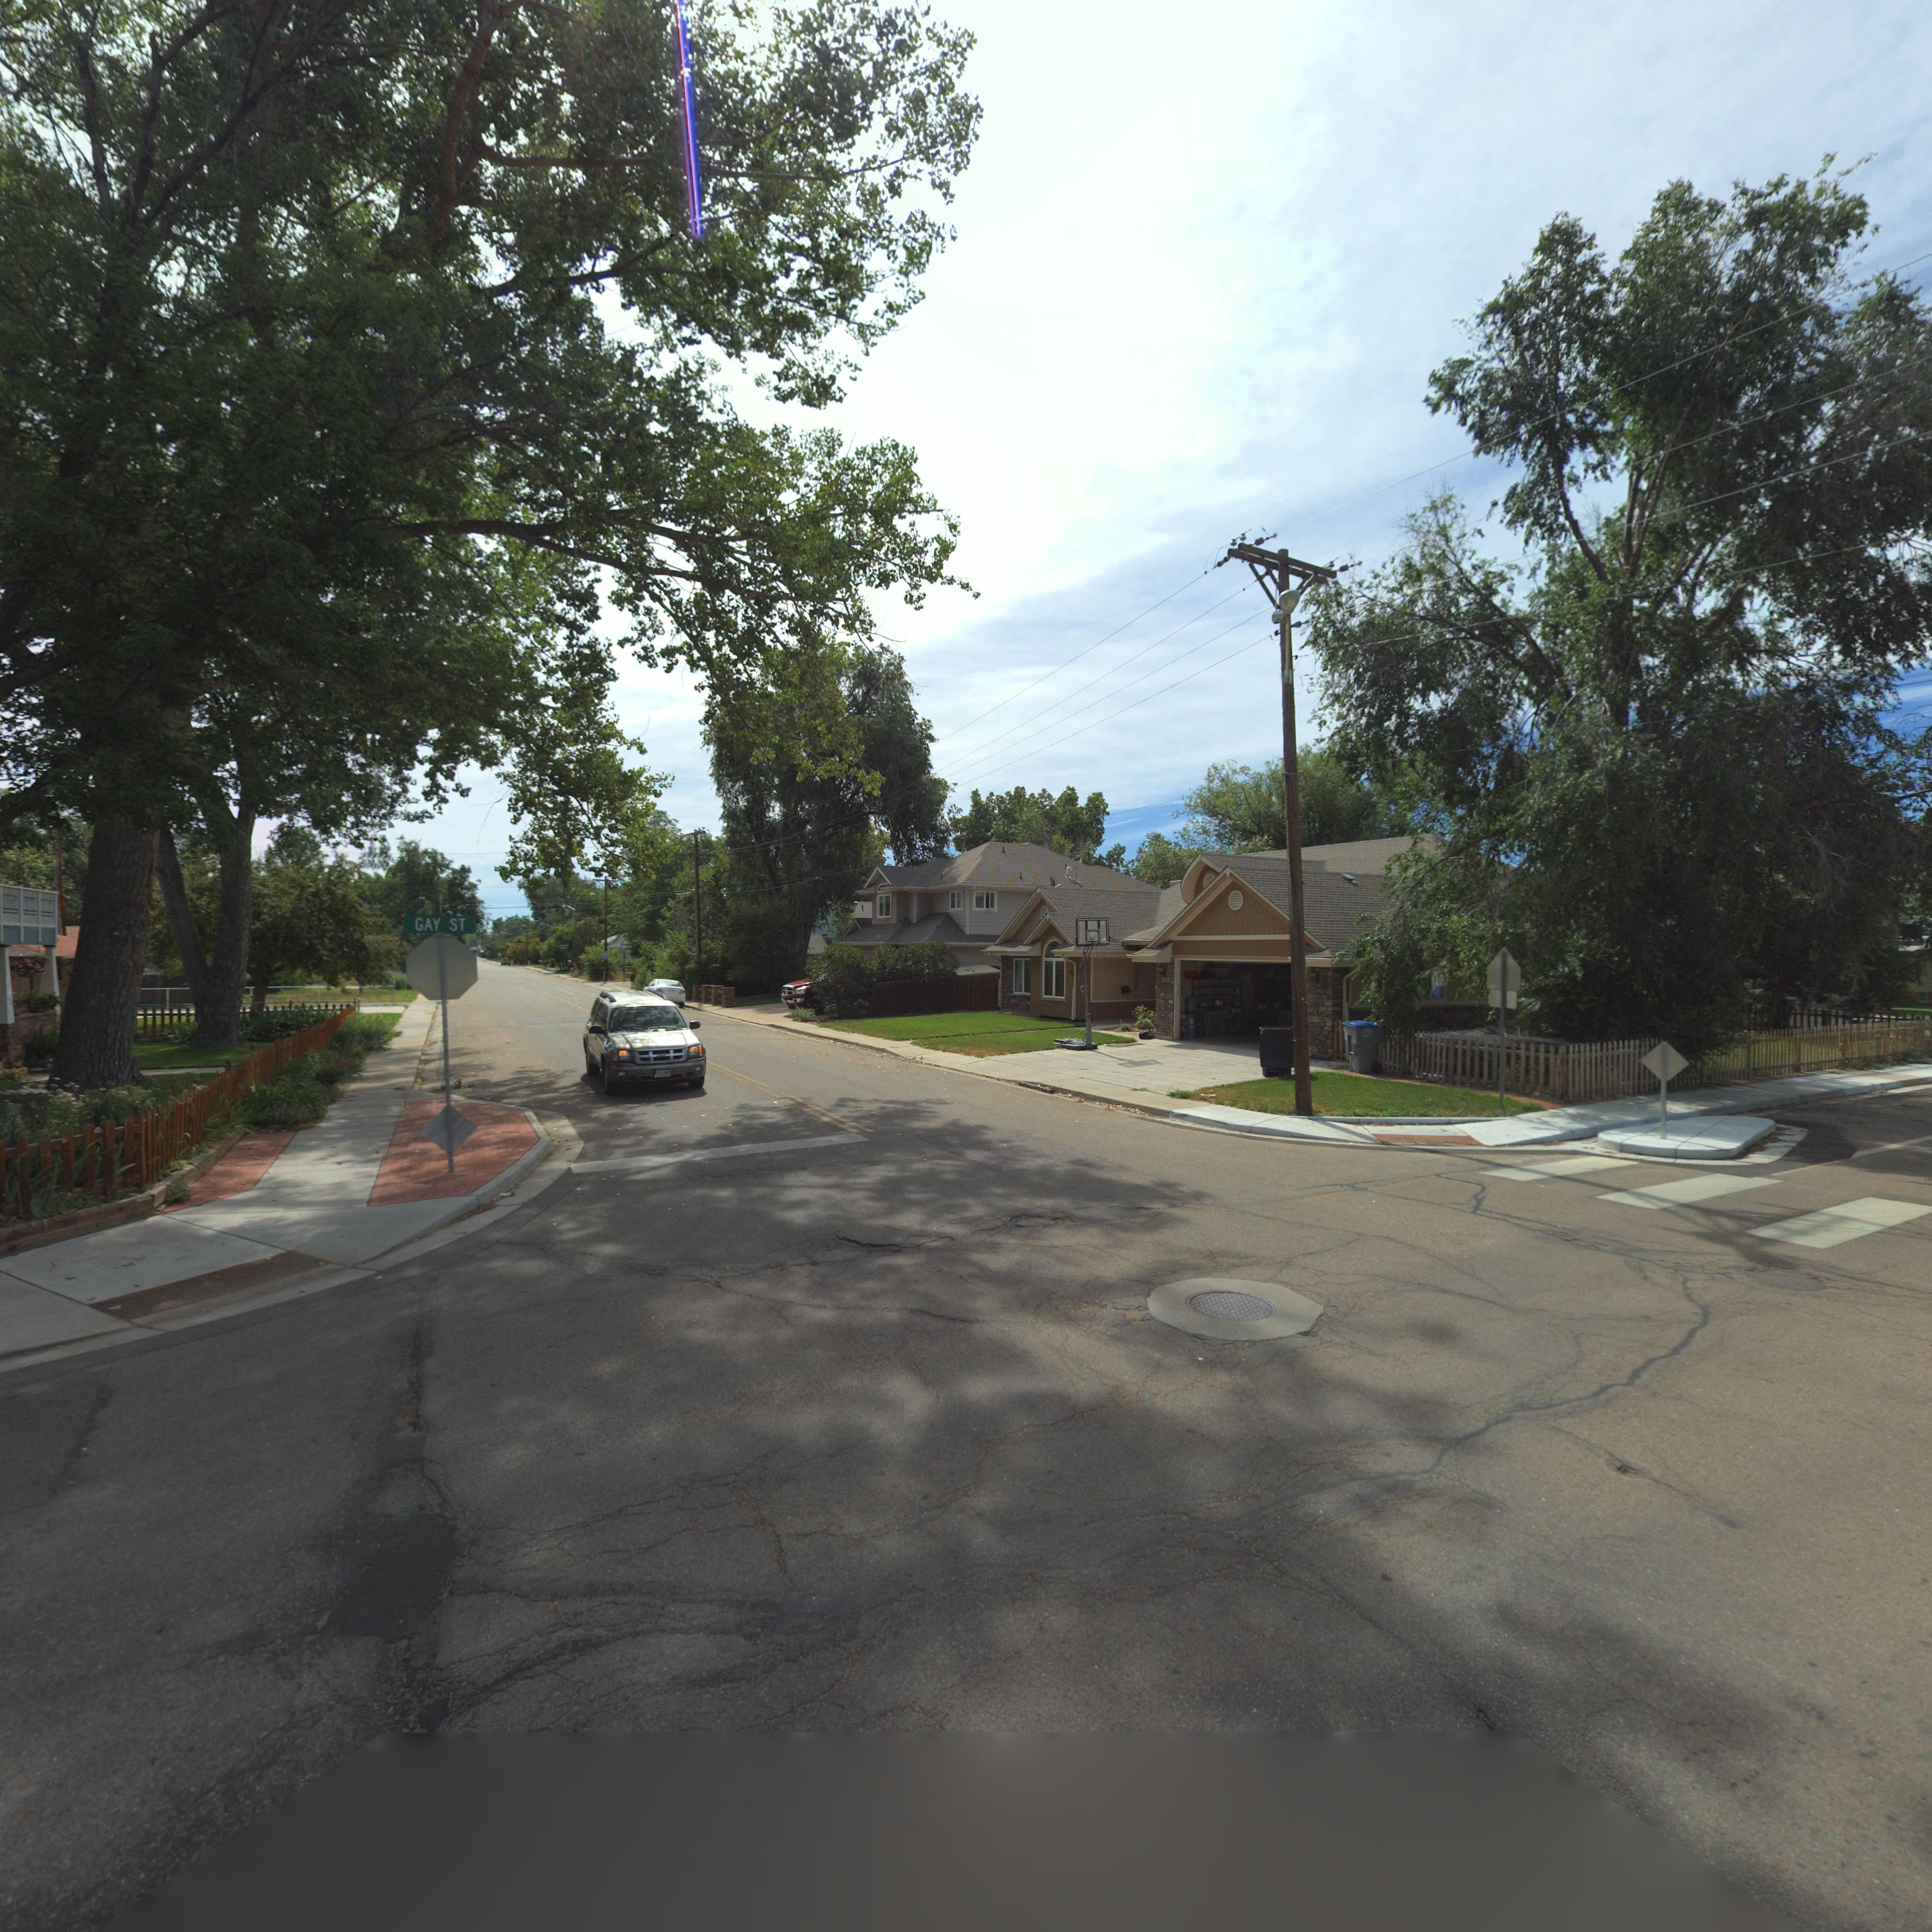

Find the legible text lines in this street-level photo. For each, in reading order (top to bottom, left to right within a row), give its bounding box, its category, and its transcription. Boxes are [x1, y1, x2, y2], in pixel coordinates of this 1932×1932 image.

[414, 917, 466, 932] StreetNumber: GAY ST